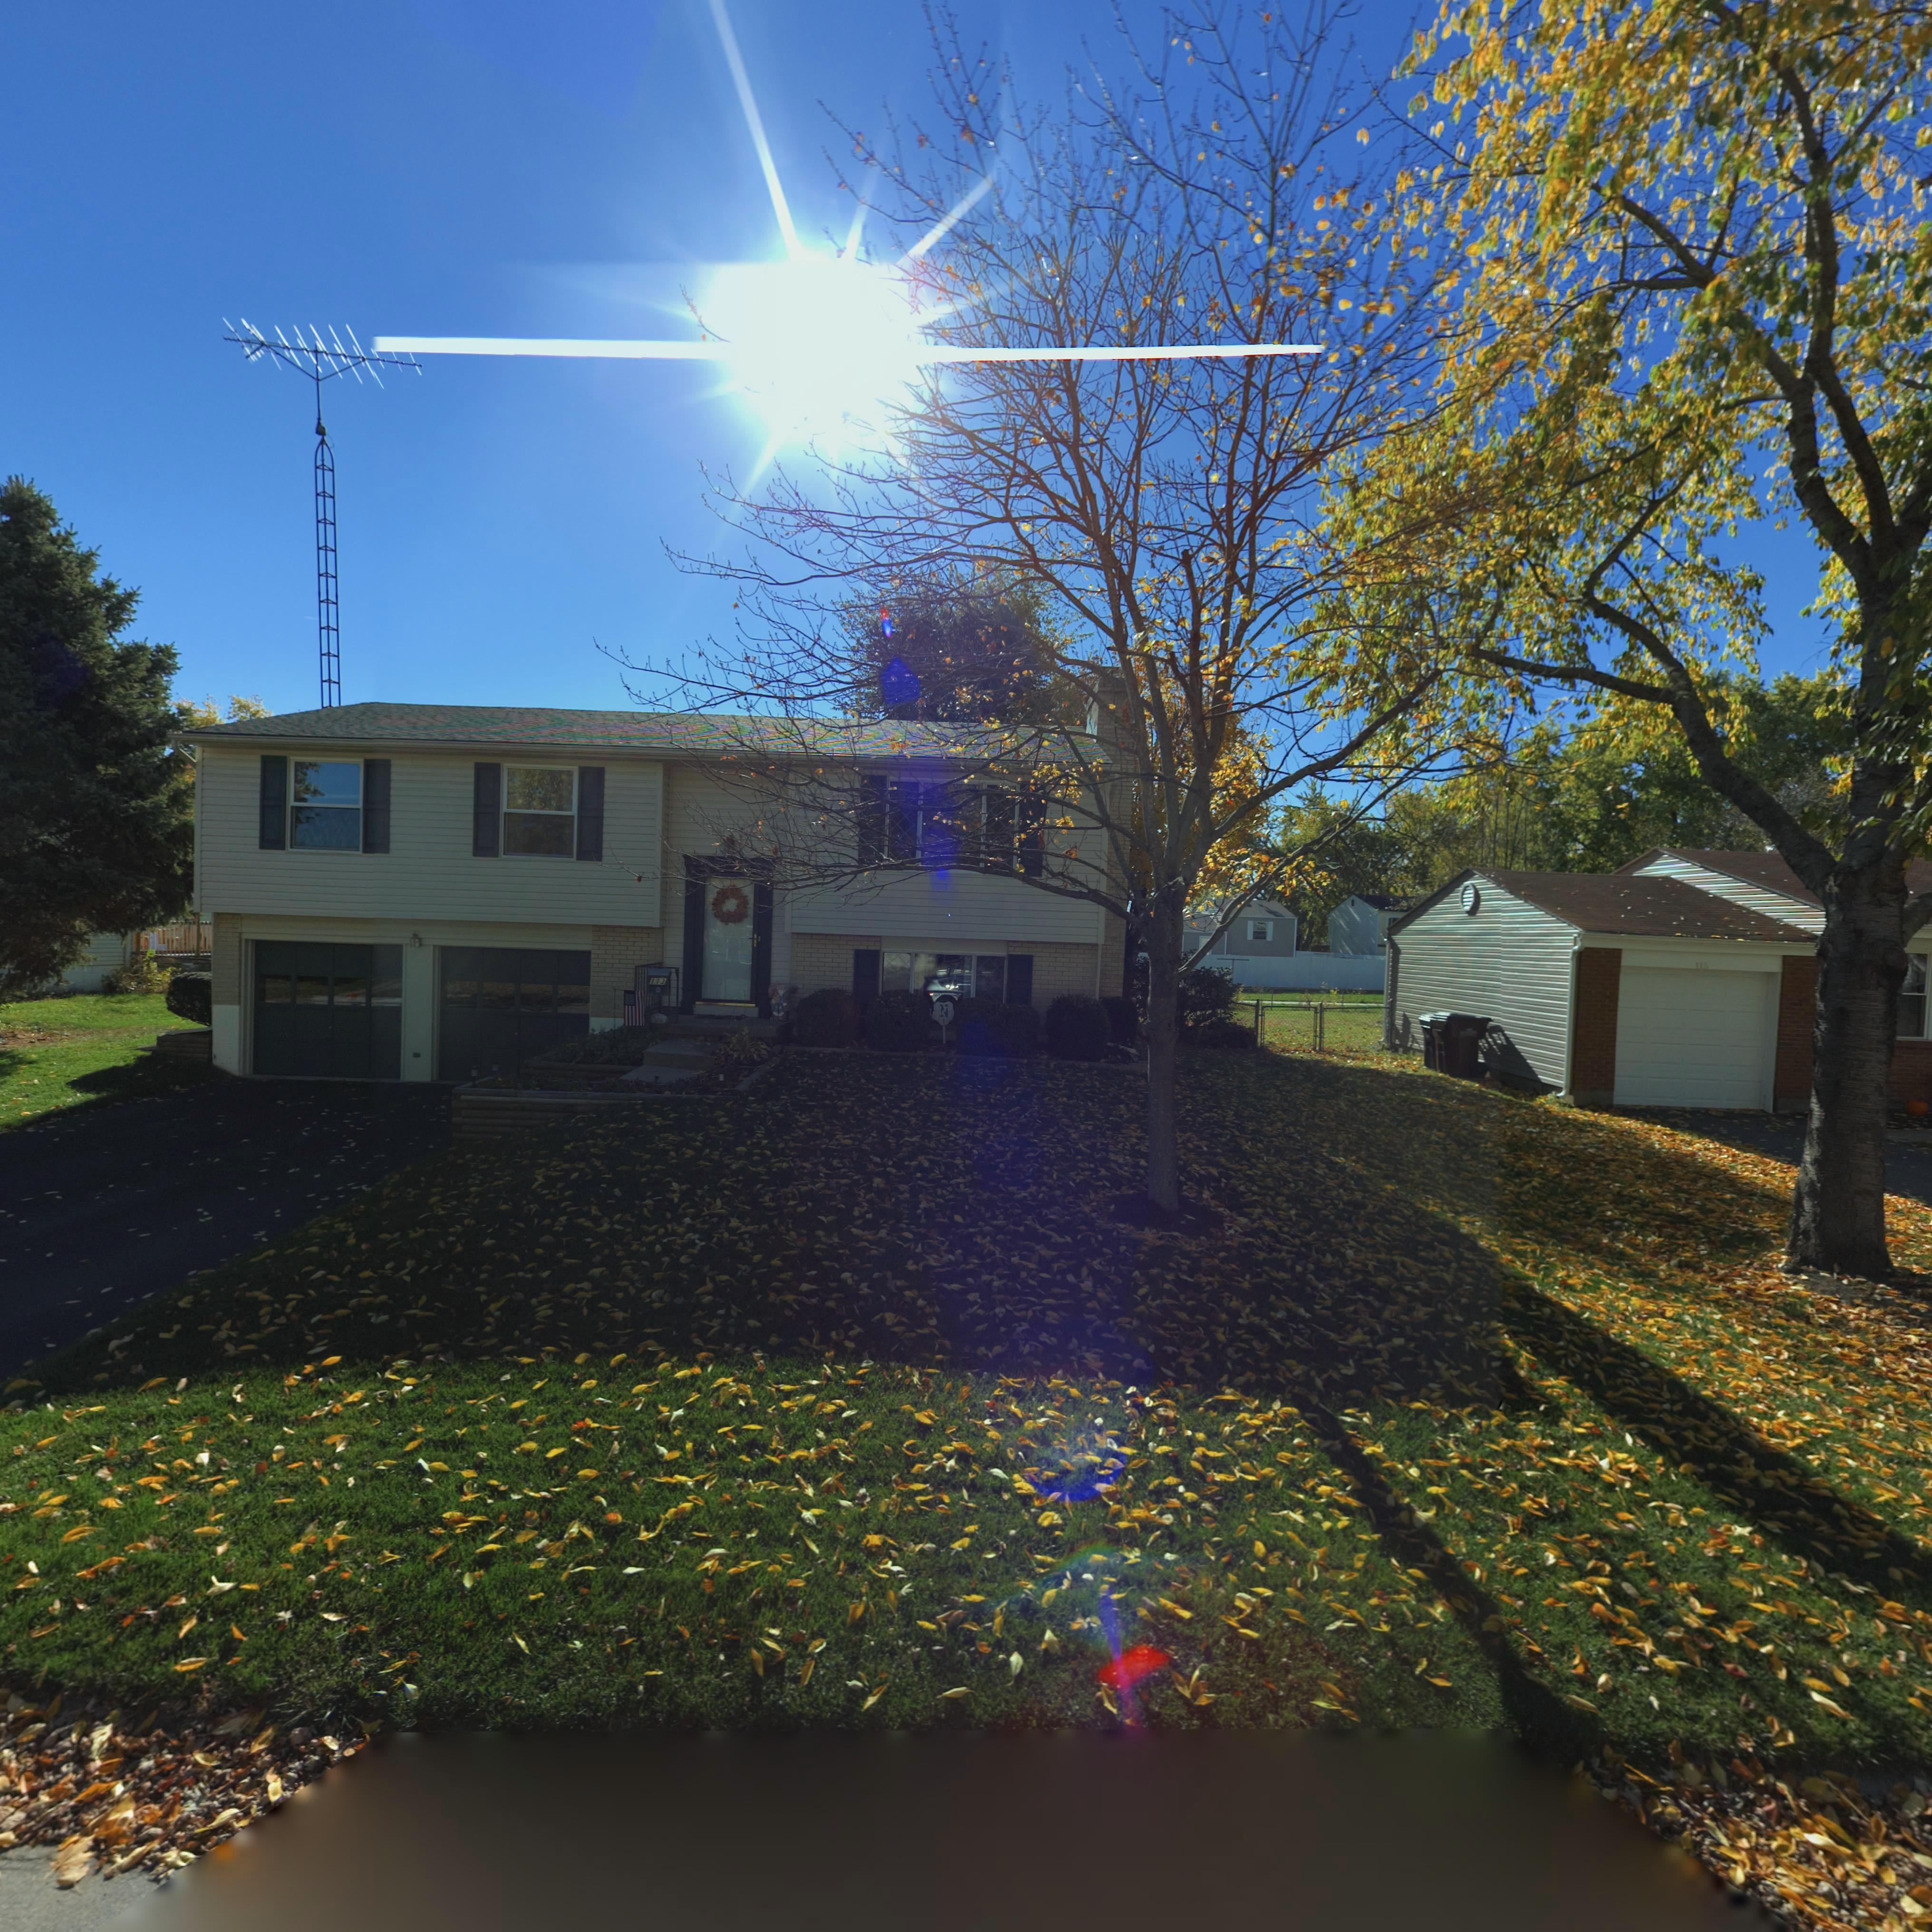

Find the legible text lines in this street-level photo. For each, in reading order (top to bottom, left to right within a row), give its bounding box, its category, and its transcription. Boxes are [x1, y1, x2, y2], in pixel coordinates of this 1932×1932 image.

[1694, 961, 1710, 970] StreetNumber: 115
[648, 977, 668, 985] StreetNumber: 113